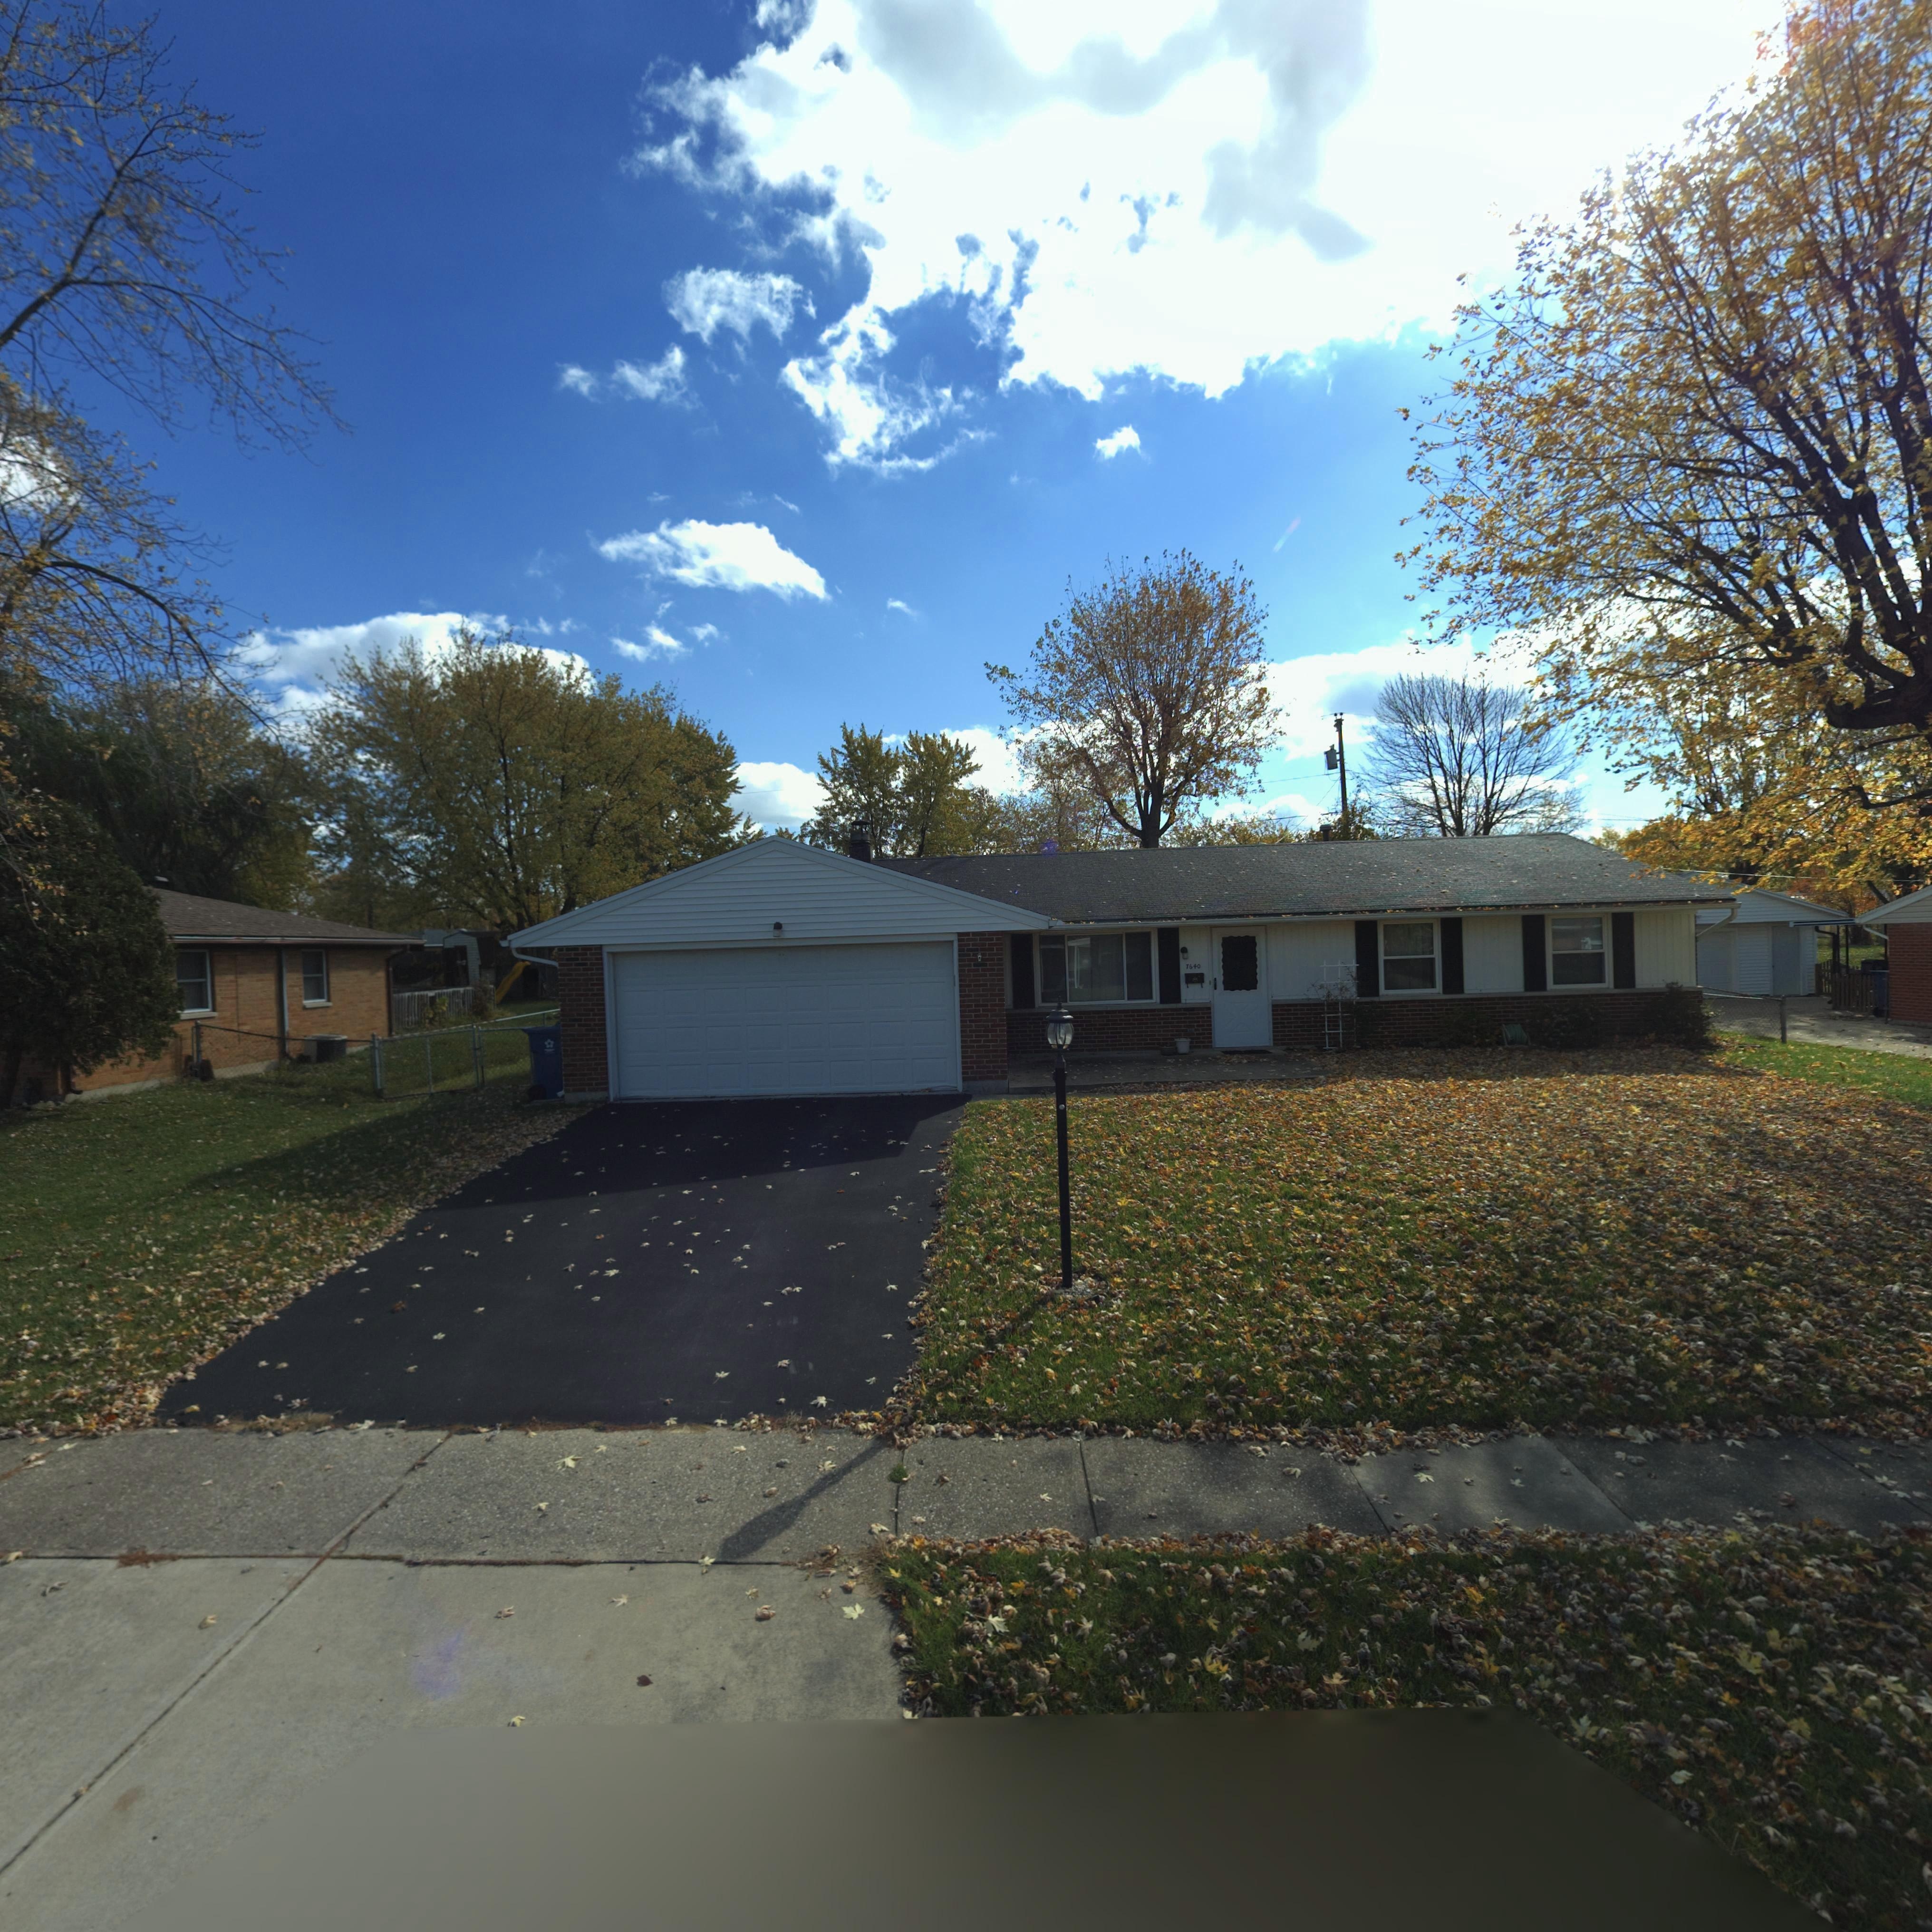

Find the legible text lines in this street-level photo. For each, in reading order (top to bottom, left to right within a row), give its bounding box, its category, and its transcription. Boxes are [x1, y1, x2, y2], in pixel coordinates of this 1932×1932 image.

[1185, 963, 1201, 969] StreetNumber: 7640